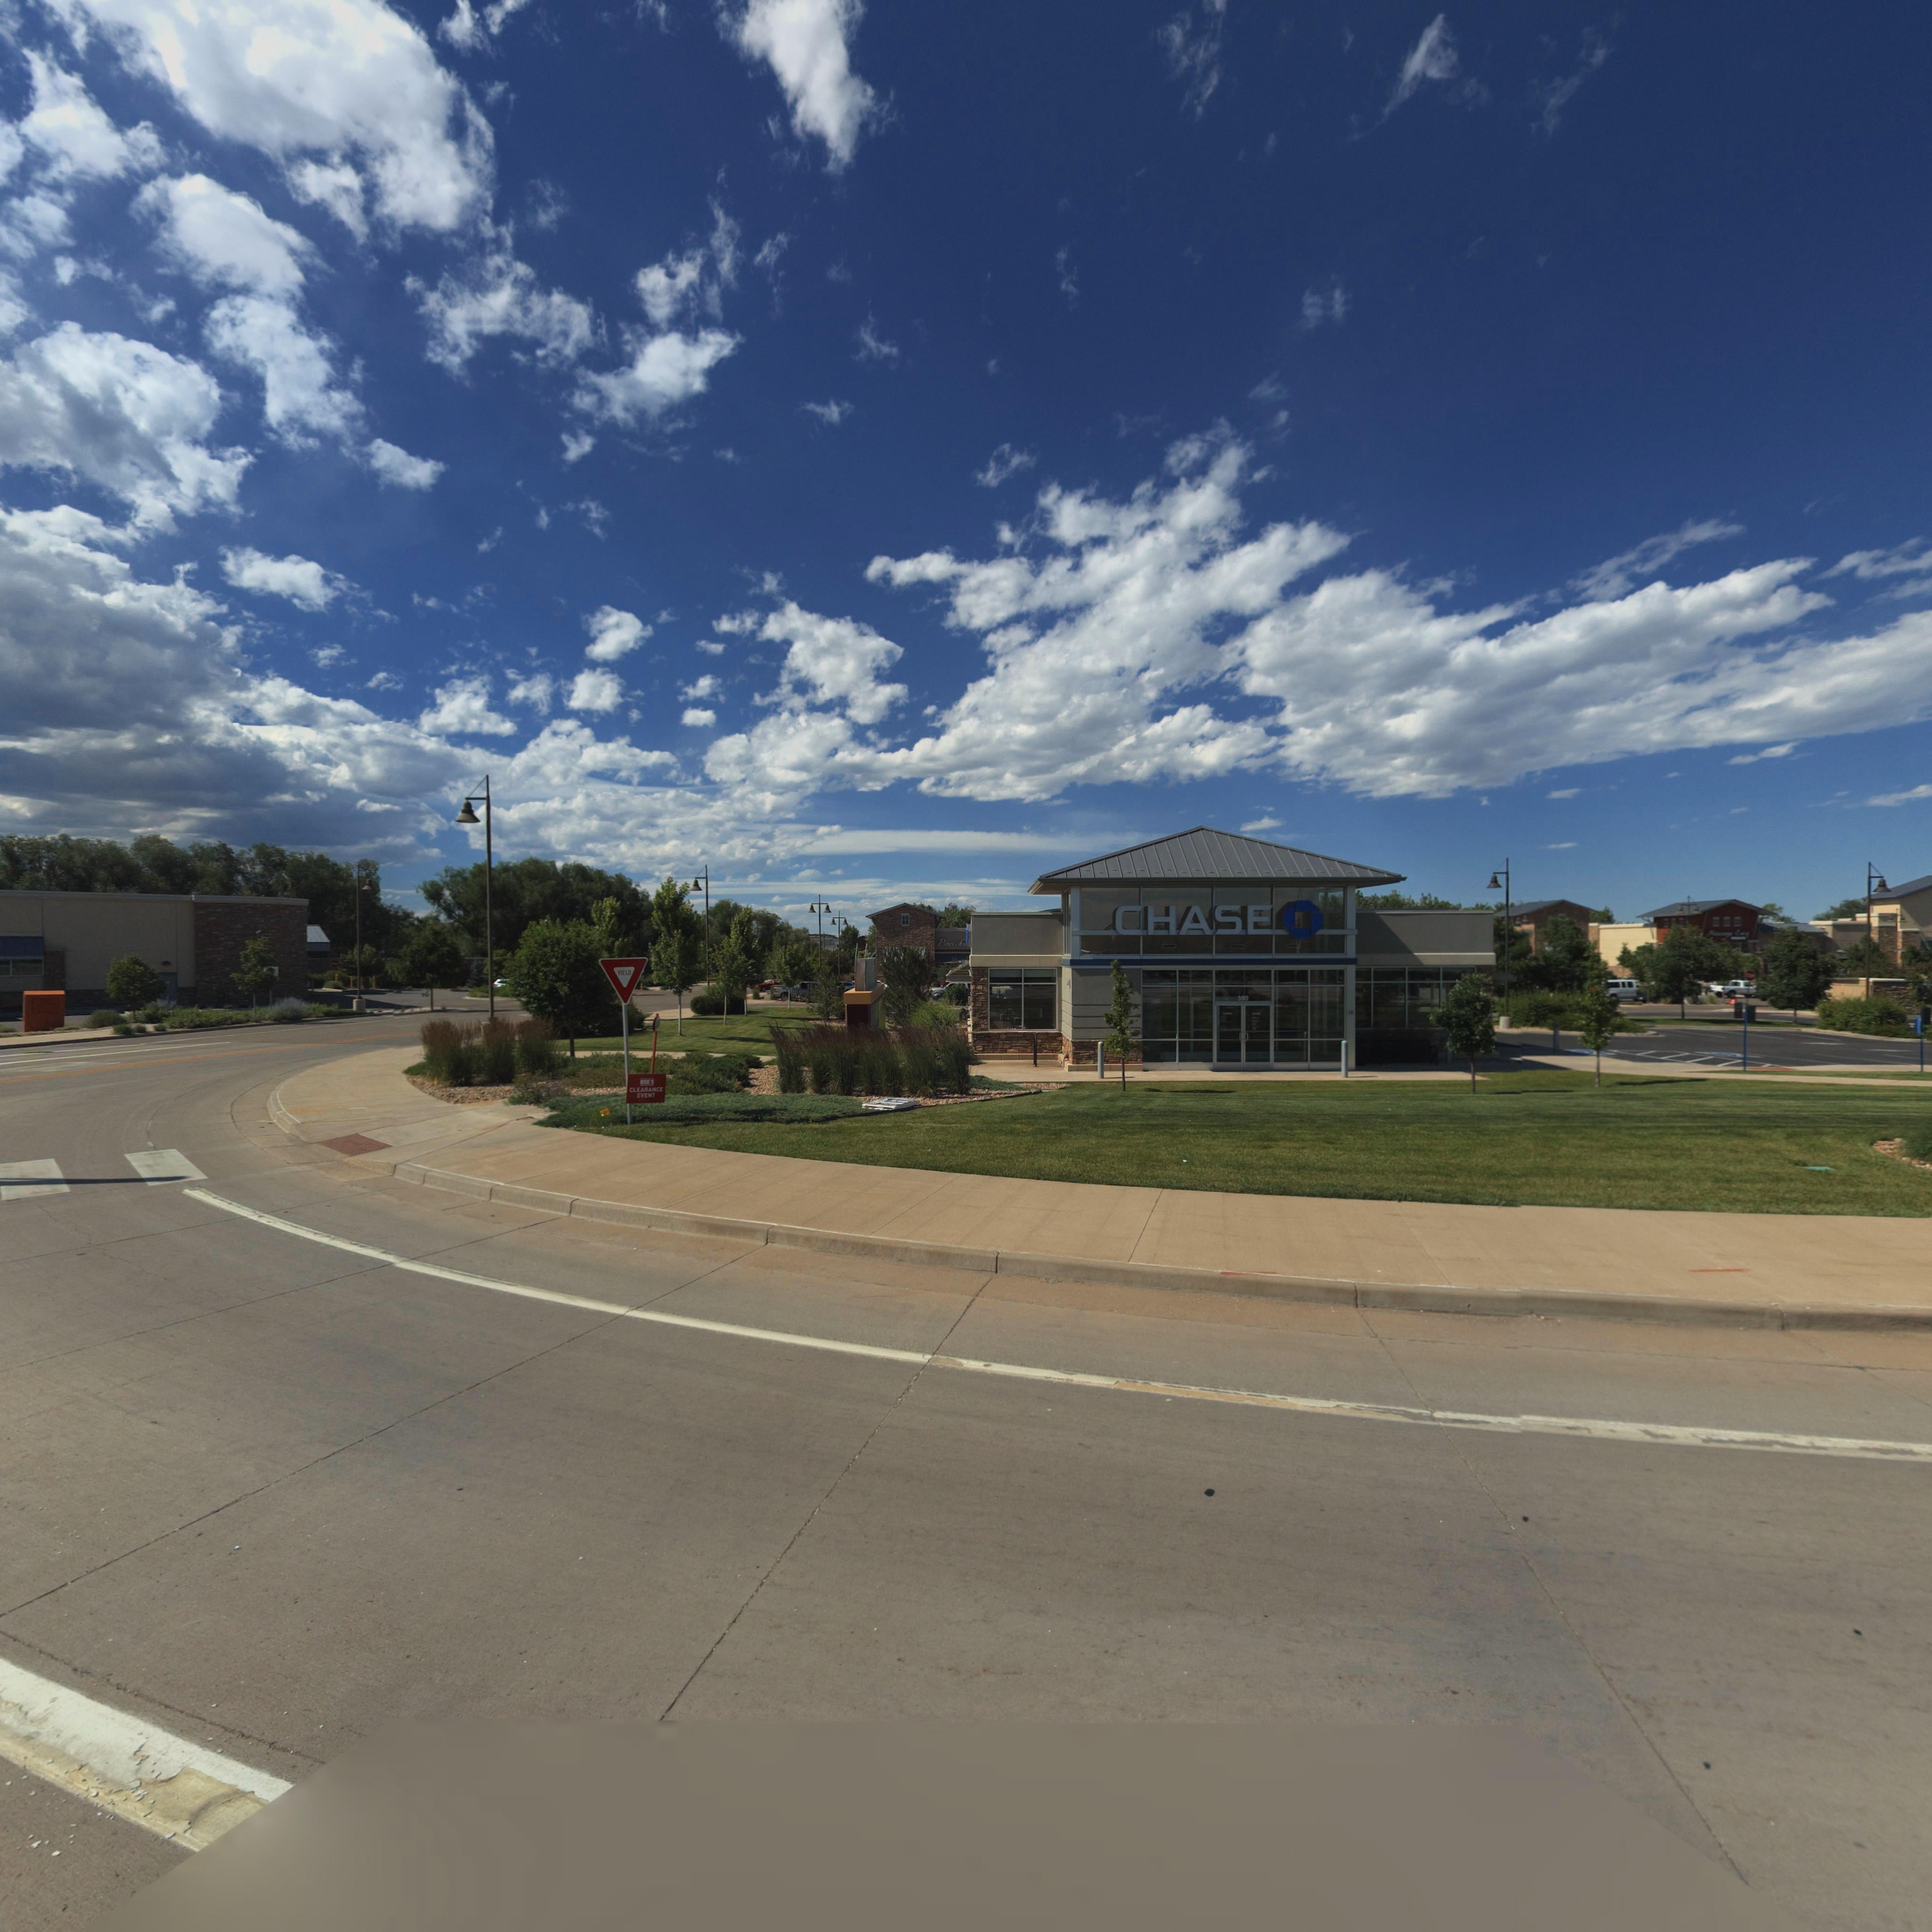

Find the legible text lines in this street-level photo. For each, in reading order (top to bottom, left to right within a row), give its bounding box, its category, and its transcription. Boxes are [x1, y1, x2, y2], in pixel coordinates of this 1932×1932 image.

[1111, 903, 1275, 936] BusinessName: CHASE
[1704, 927, 1752, 941] BusinessName: Massage Envy
[937, 937, 967, 947] BusinessName: Pineccki
[1236, 995, 1248, 1001] StreetNumber: 390